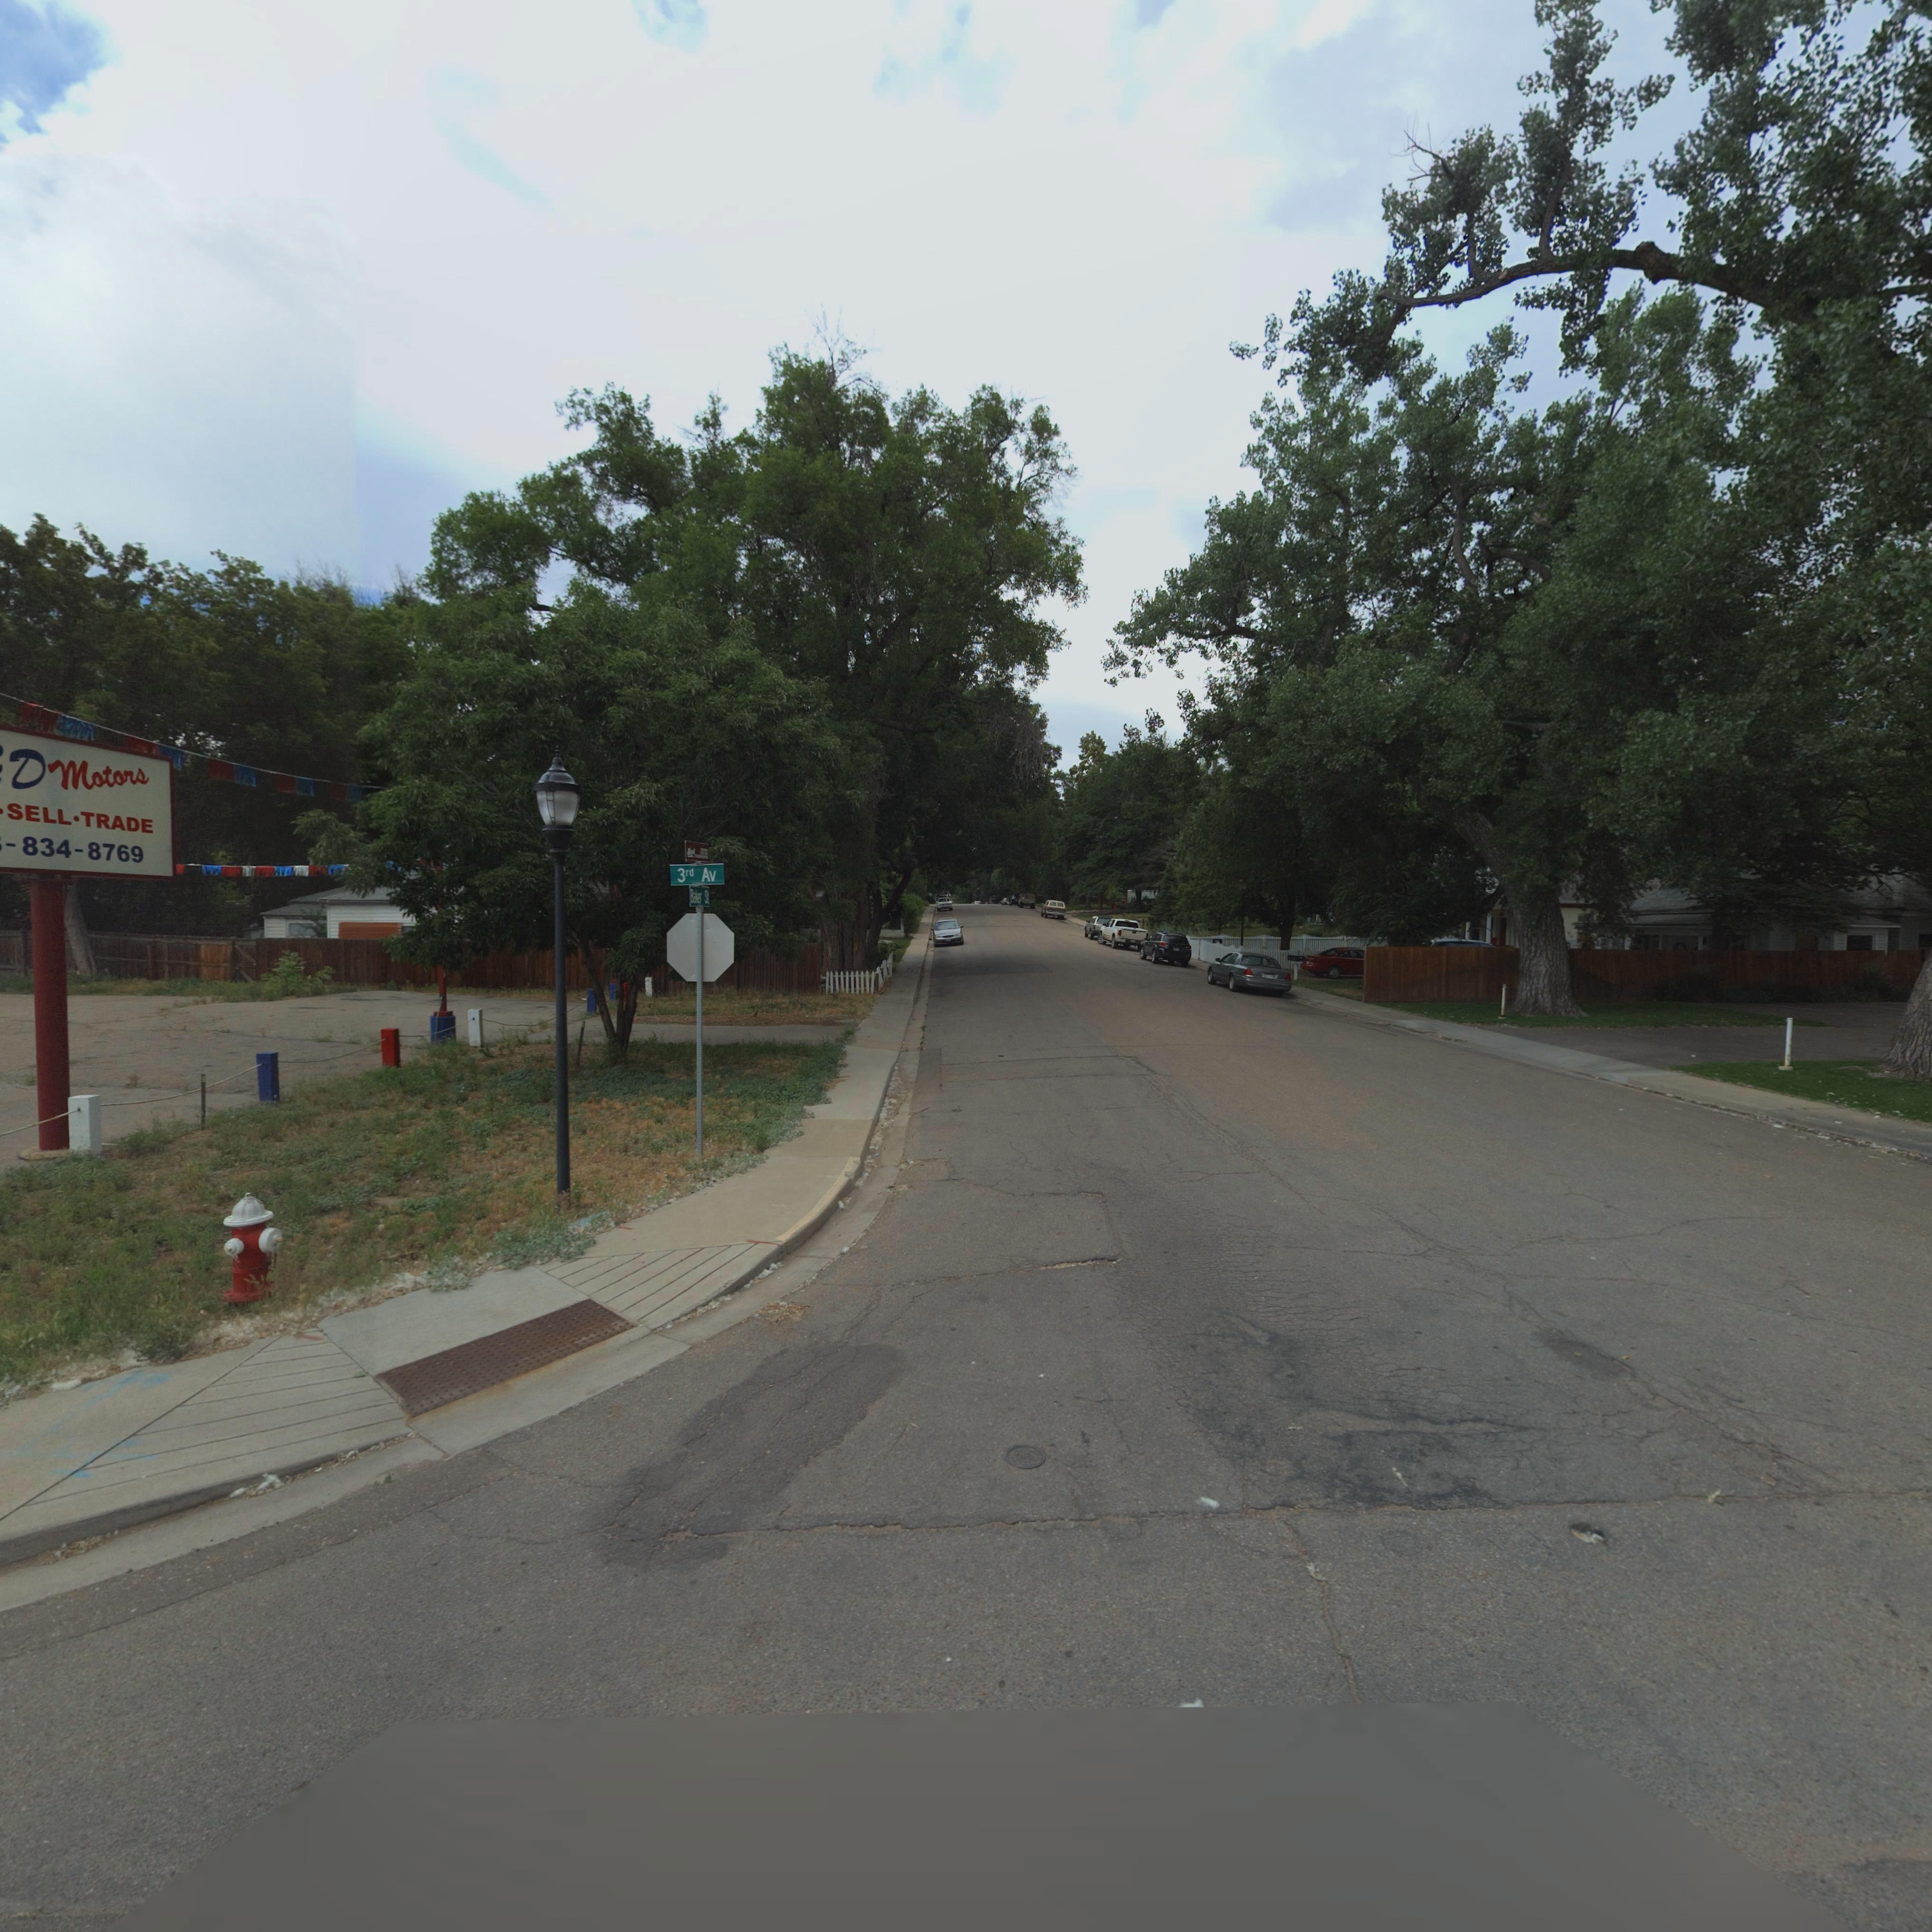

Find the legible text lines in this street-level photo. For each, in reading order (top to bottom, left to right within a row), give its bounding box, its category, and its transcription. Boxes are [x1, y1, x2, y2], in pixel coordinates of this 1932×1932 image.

[8, 748, 46, 790] BusinessName: D
[46, 758, 150, 791] BusinessName: Motors
[677, 867, 716, 883] StreetName: 3rd Av
[690, 888, 709, 904] BusinessName: Ba*er St